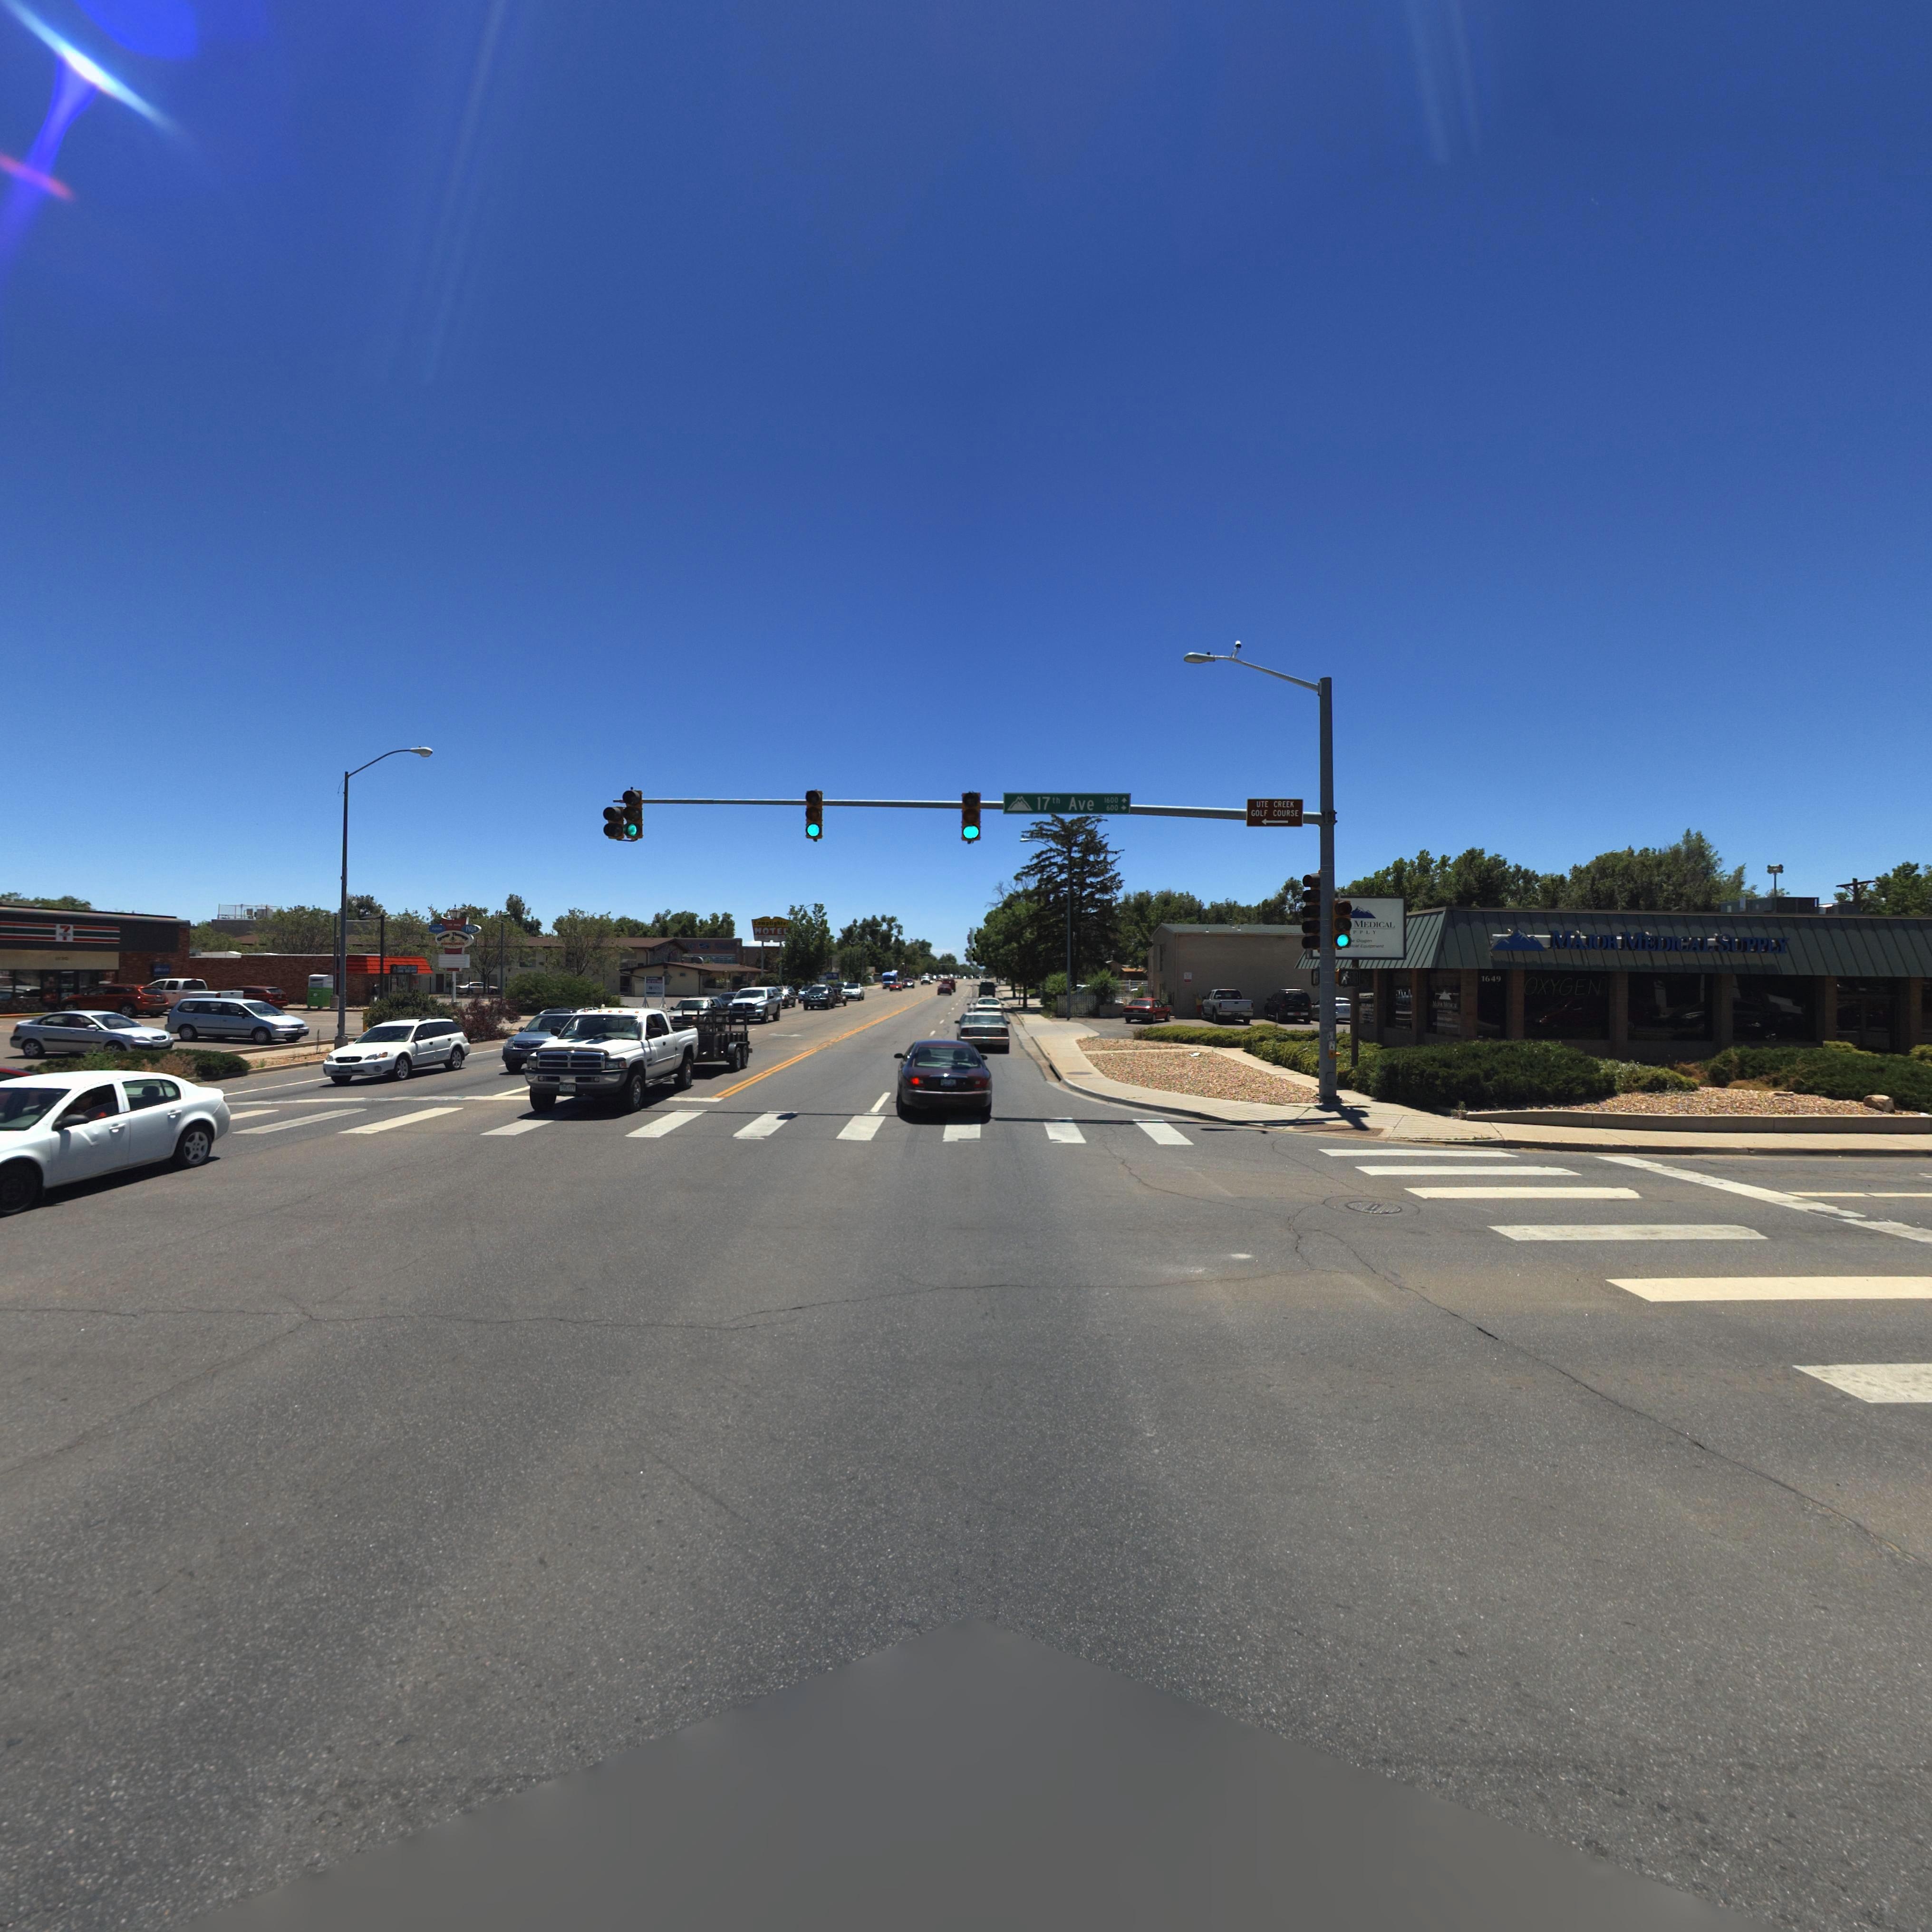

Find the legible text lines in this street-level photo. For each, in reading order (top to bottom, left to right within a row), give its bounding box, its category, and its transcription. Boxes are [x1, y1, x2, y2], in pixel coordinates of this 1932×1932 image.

[1036, 796, 1095, 811] StreetName: 17th Ave
[1104, 796, 1118, 803] StreetNumberRange: 1600
[1106, 804, 1127, 811] StreetNumberRange: 600 ->
[753, 919, 790, 927] BusinessName: Lamplighter
[1353, 919, 1395, 928] BusinessName: MEDICAL
[59, 924, 70, 941] BusinessName: 7
[436, 931, 469, 941] BusinessName: Group Therapy
[753, 927, 788, 935] BusinessName: MOTEL
[1352, 929, 1377, 934] BusinessName: PPLY
[1547, 929, 1791, 954] BusinessName: MAJOR MEDICAL SUPPLY
[682, 942, 710, 950] BusinessName: *G 5
[55, 956, 68, 960] StreetNumber: 1**0
[397, 965, 417, 968] BusinessName: C***** ******
[826, 973, 837, 976] BusinessName: *** 5
[1480, 975, 1501, 982] StreetNumber: 1649
[1432, 1000, 1458, 1008] BusinessName: M**** MED*C**